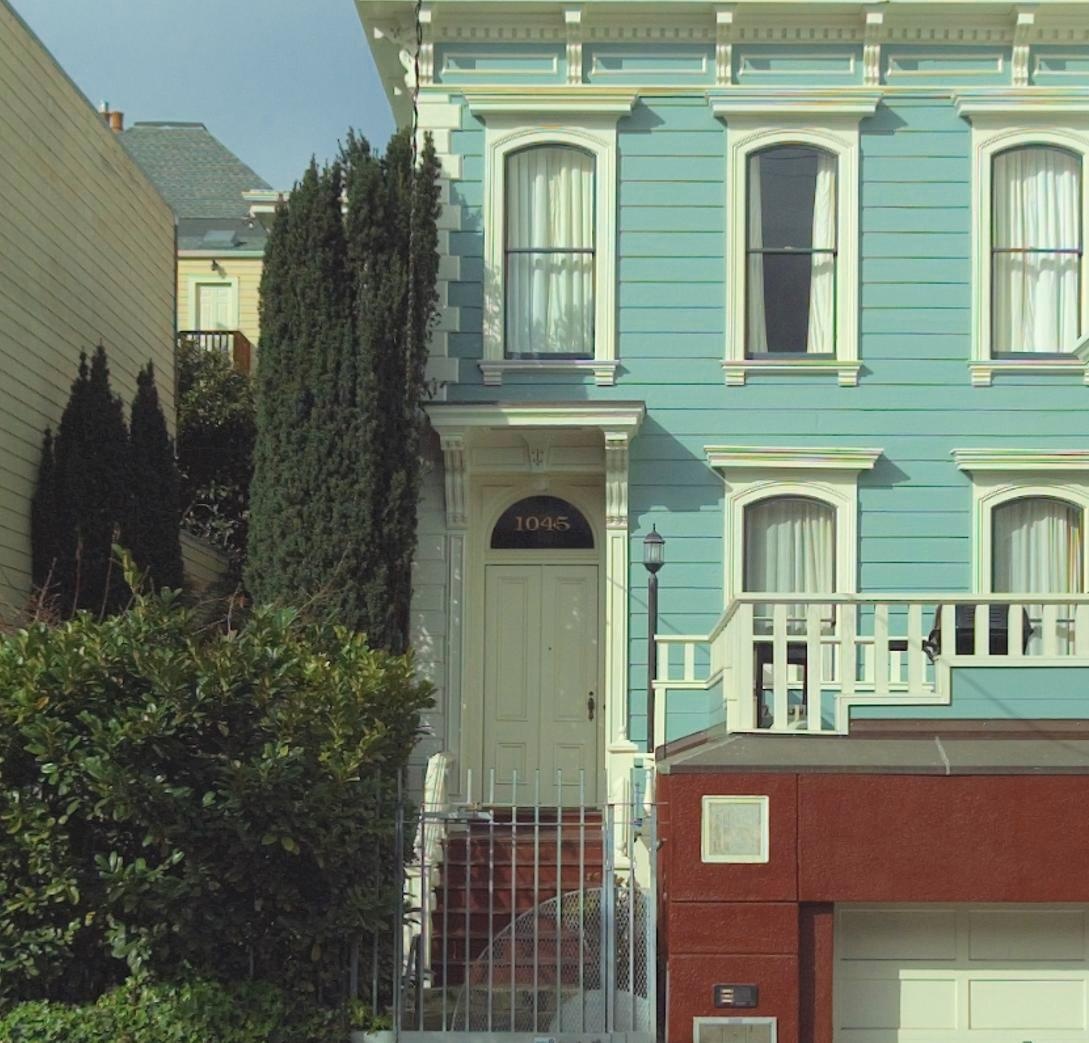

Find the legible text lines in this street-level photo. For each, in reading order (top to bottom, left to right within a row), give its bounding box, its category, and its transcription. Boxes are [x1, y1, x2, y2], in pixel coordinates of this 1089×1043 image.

[514, 514, 572, 533] StreetNumber: 1045